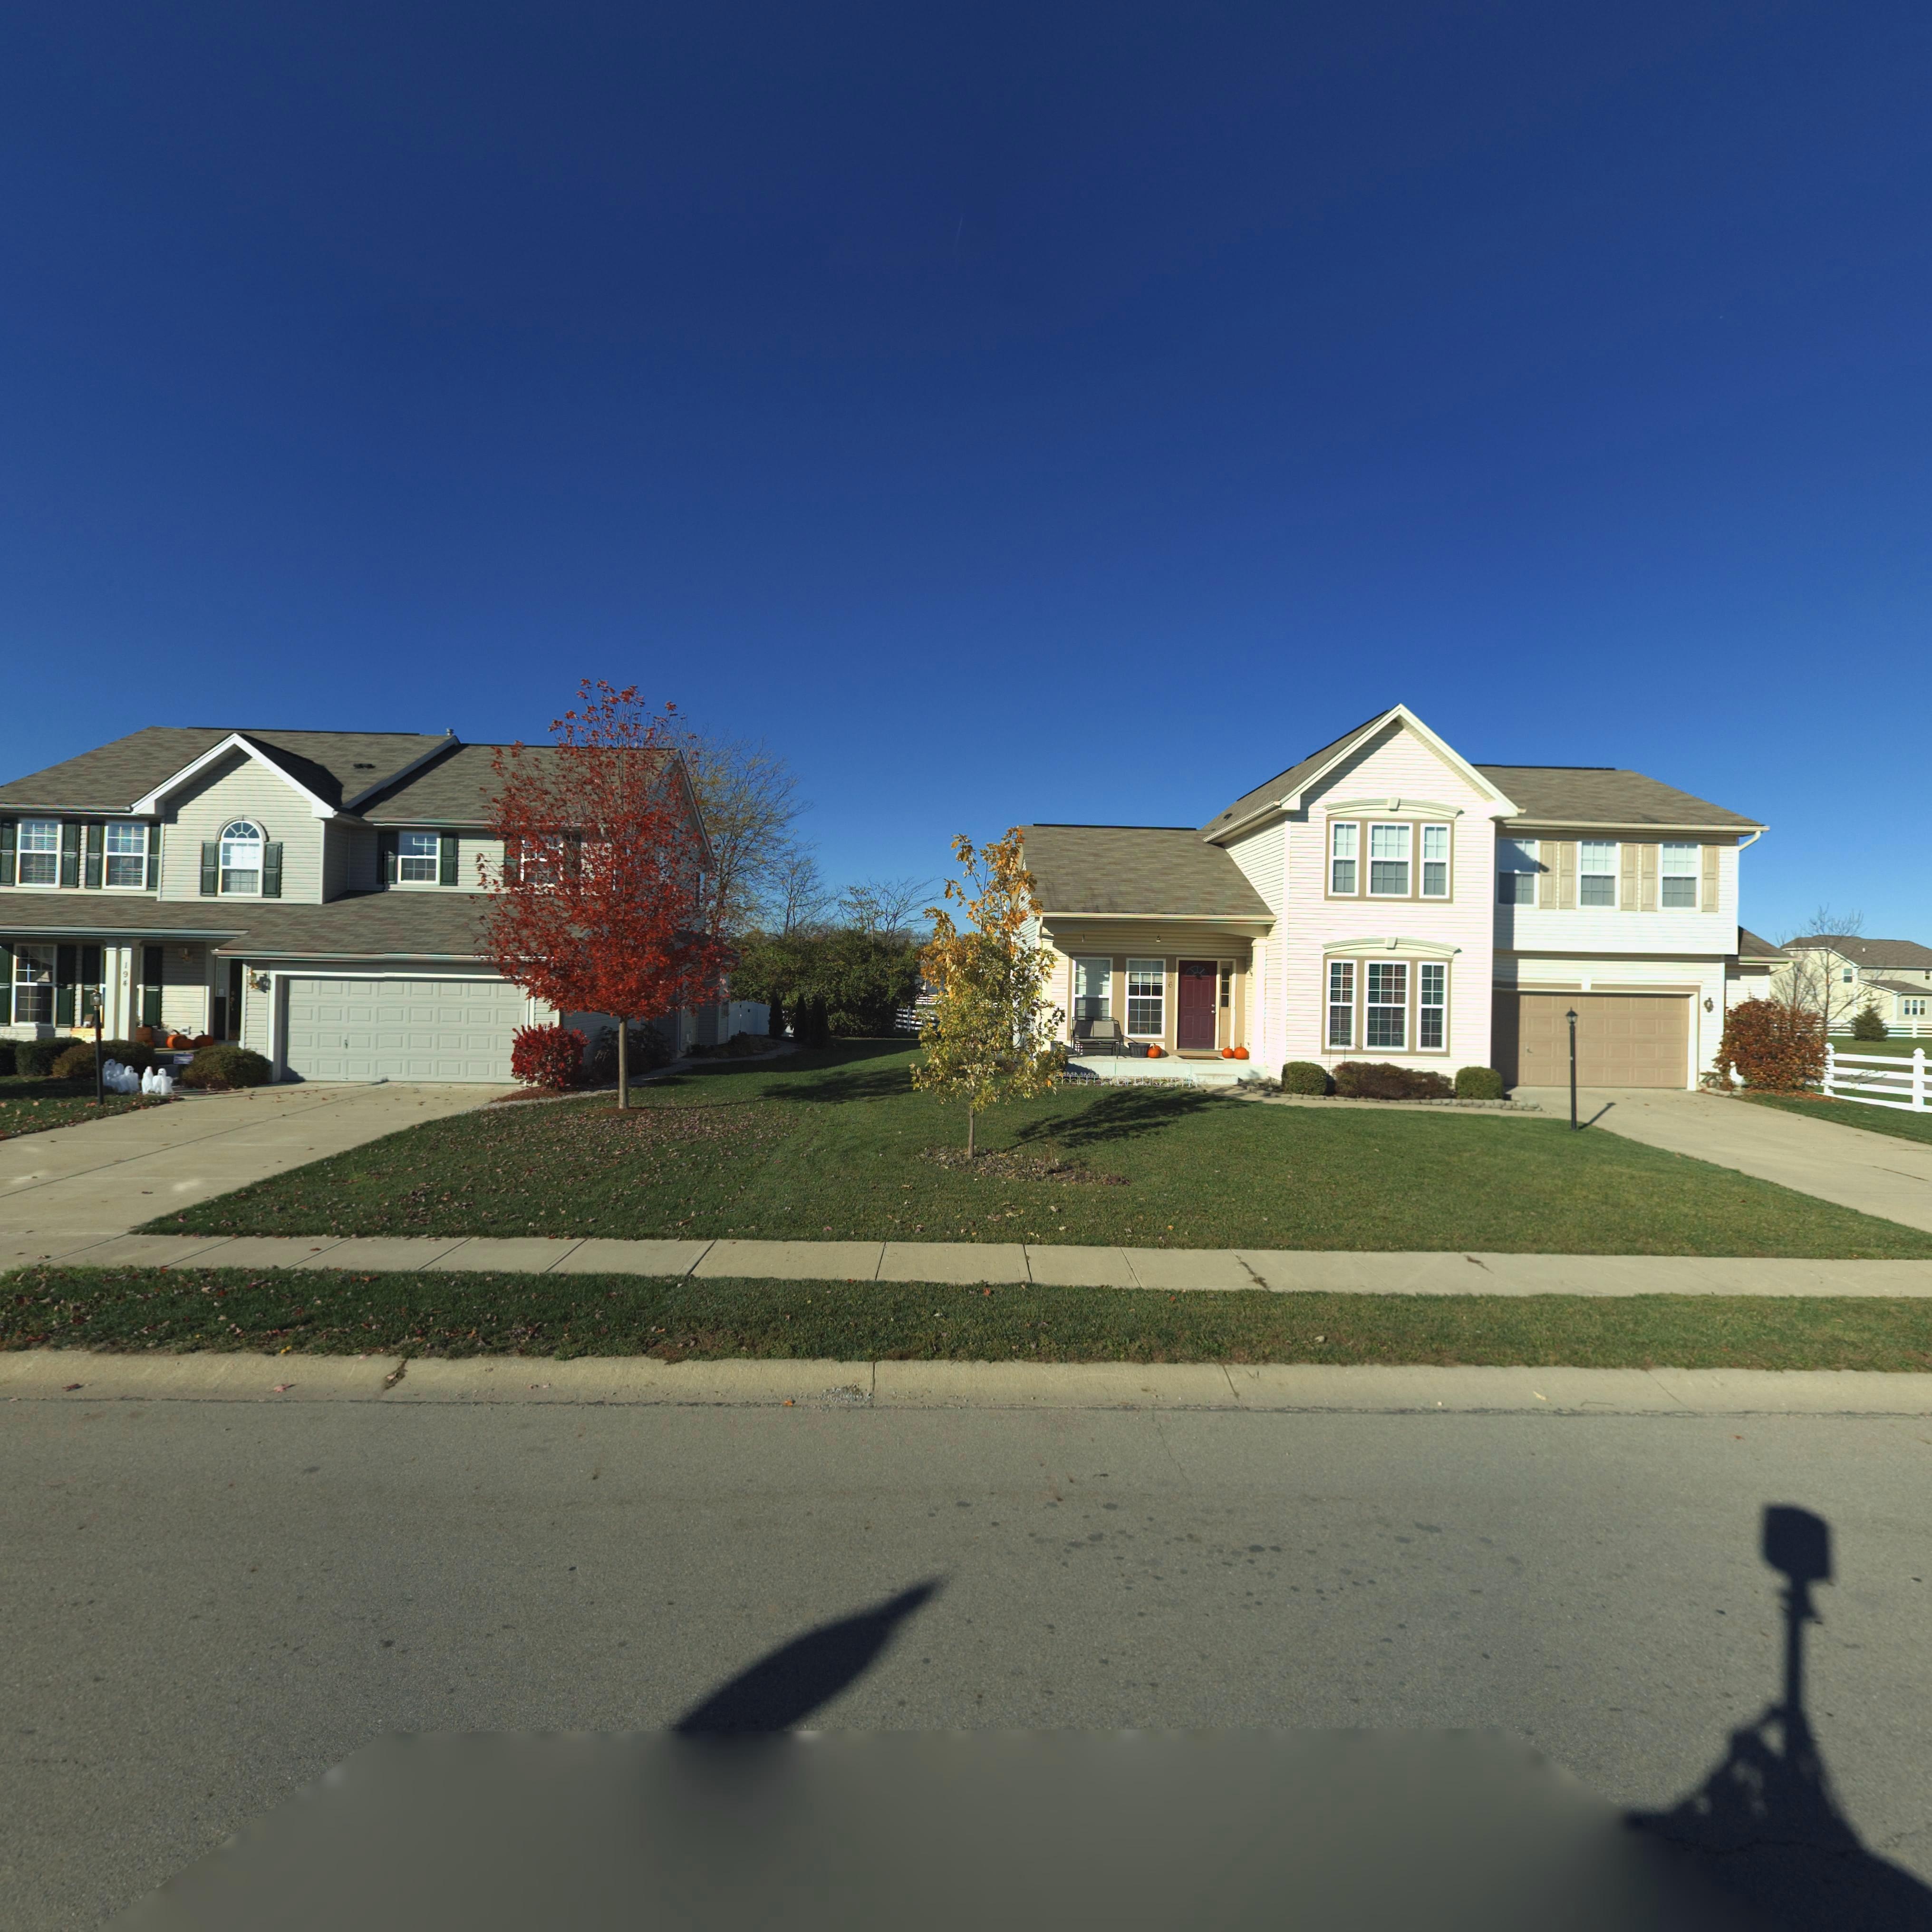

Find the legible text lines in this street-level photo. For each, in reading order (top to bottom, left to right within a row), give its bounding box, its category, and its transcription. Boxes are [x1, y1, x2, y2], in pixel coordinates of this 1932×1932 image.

[121, 960, 130, 988] StreetNumber: 194